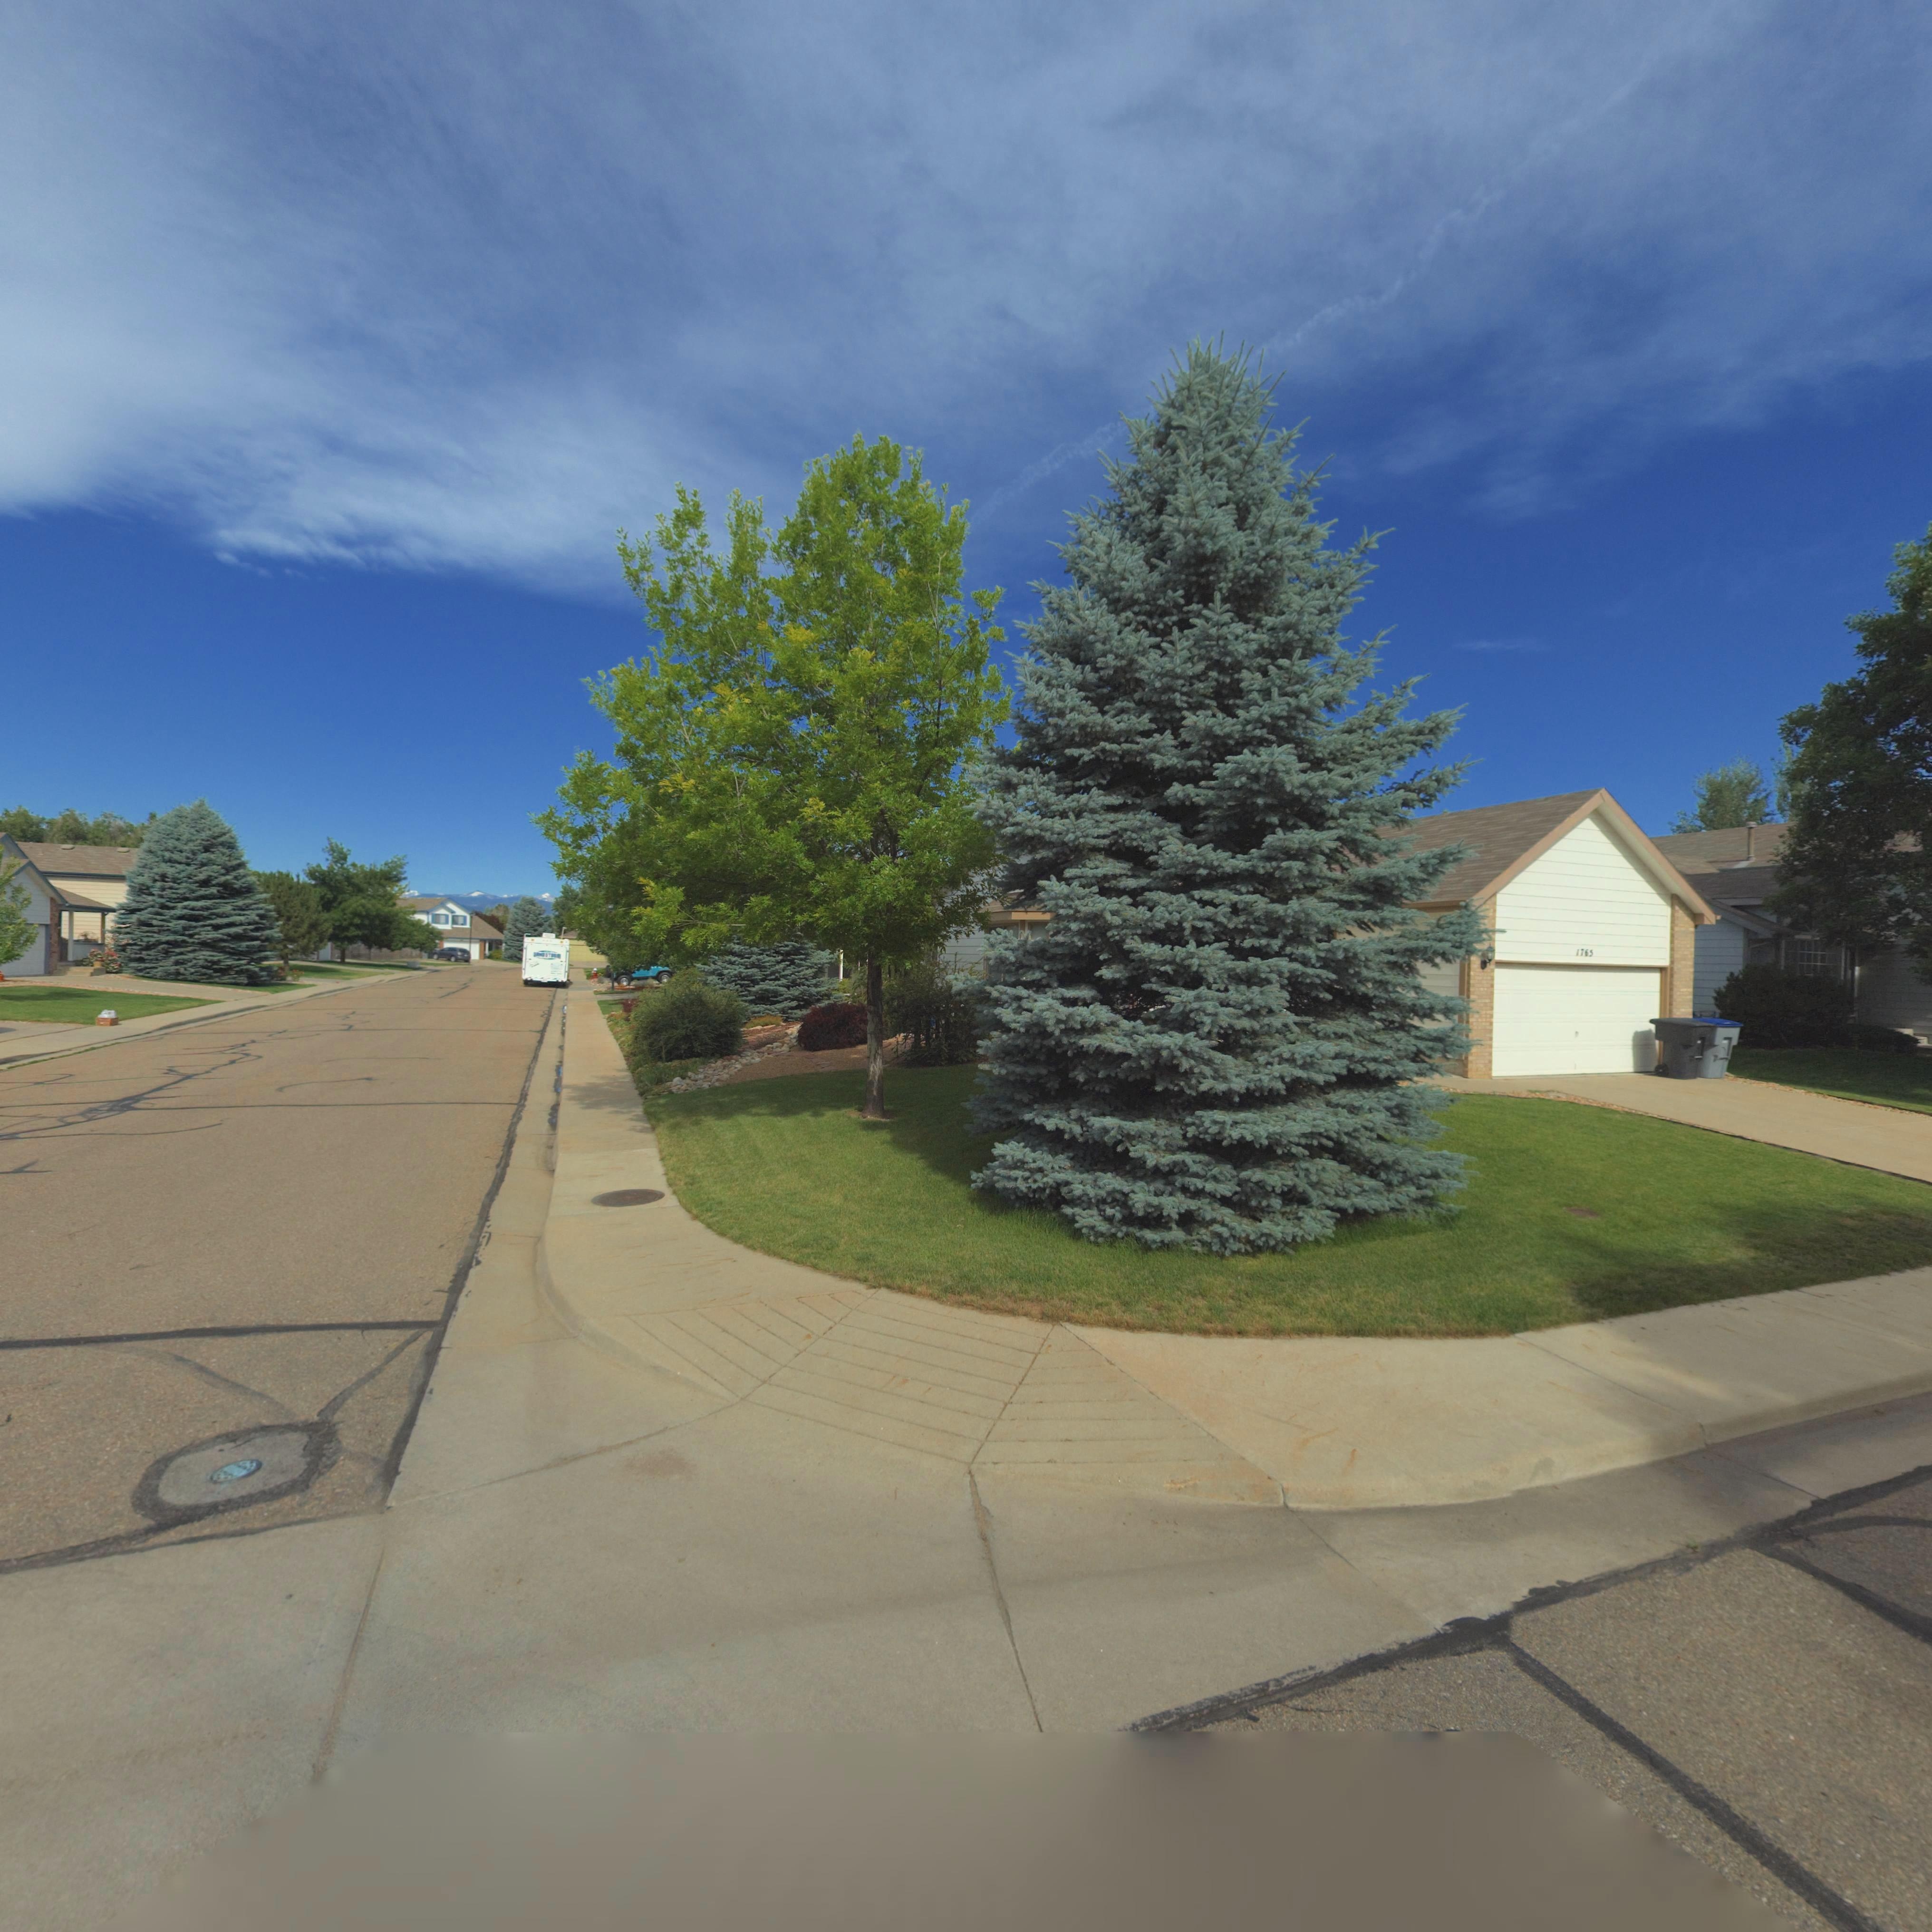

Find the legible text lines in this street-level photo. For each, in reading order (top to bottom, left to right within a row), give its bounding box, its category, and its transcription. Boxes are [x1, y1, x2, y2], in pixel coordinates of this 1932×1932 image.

[1574, 947, 1594, 957] StreetNumber: 1765